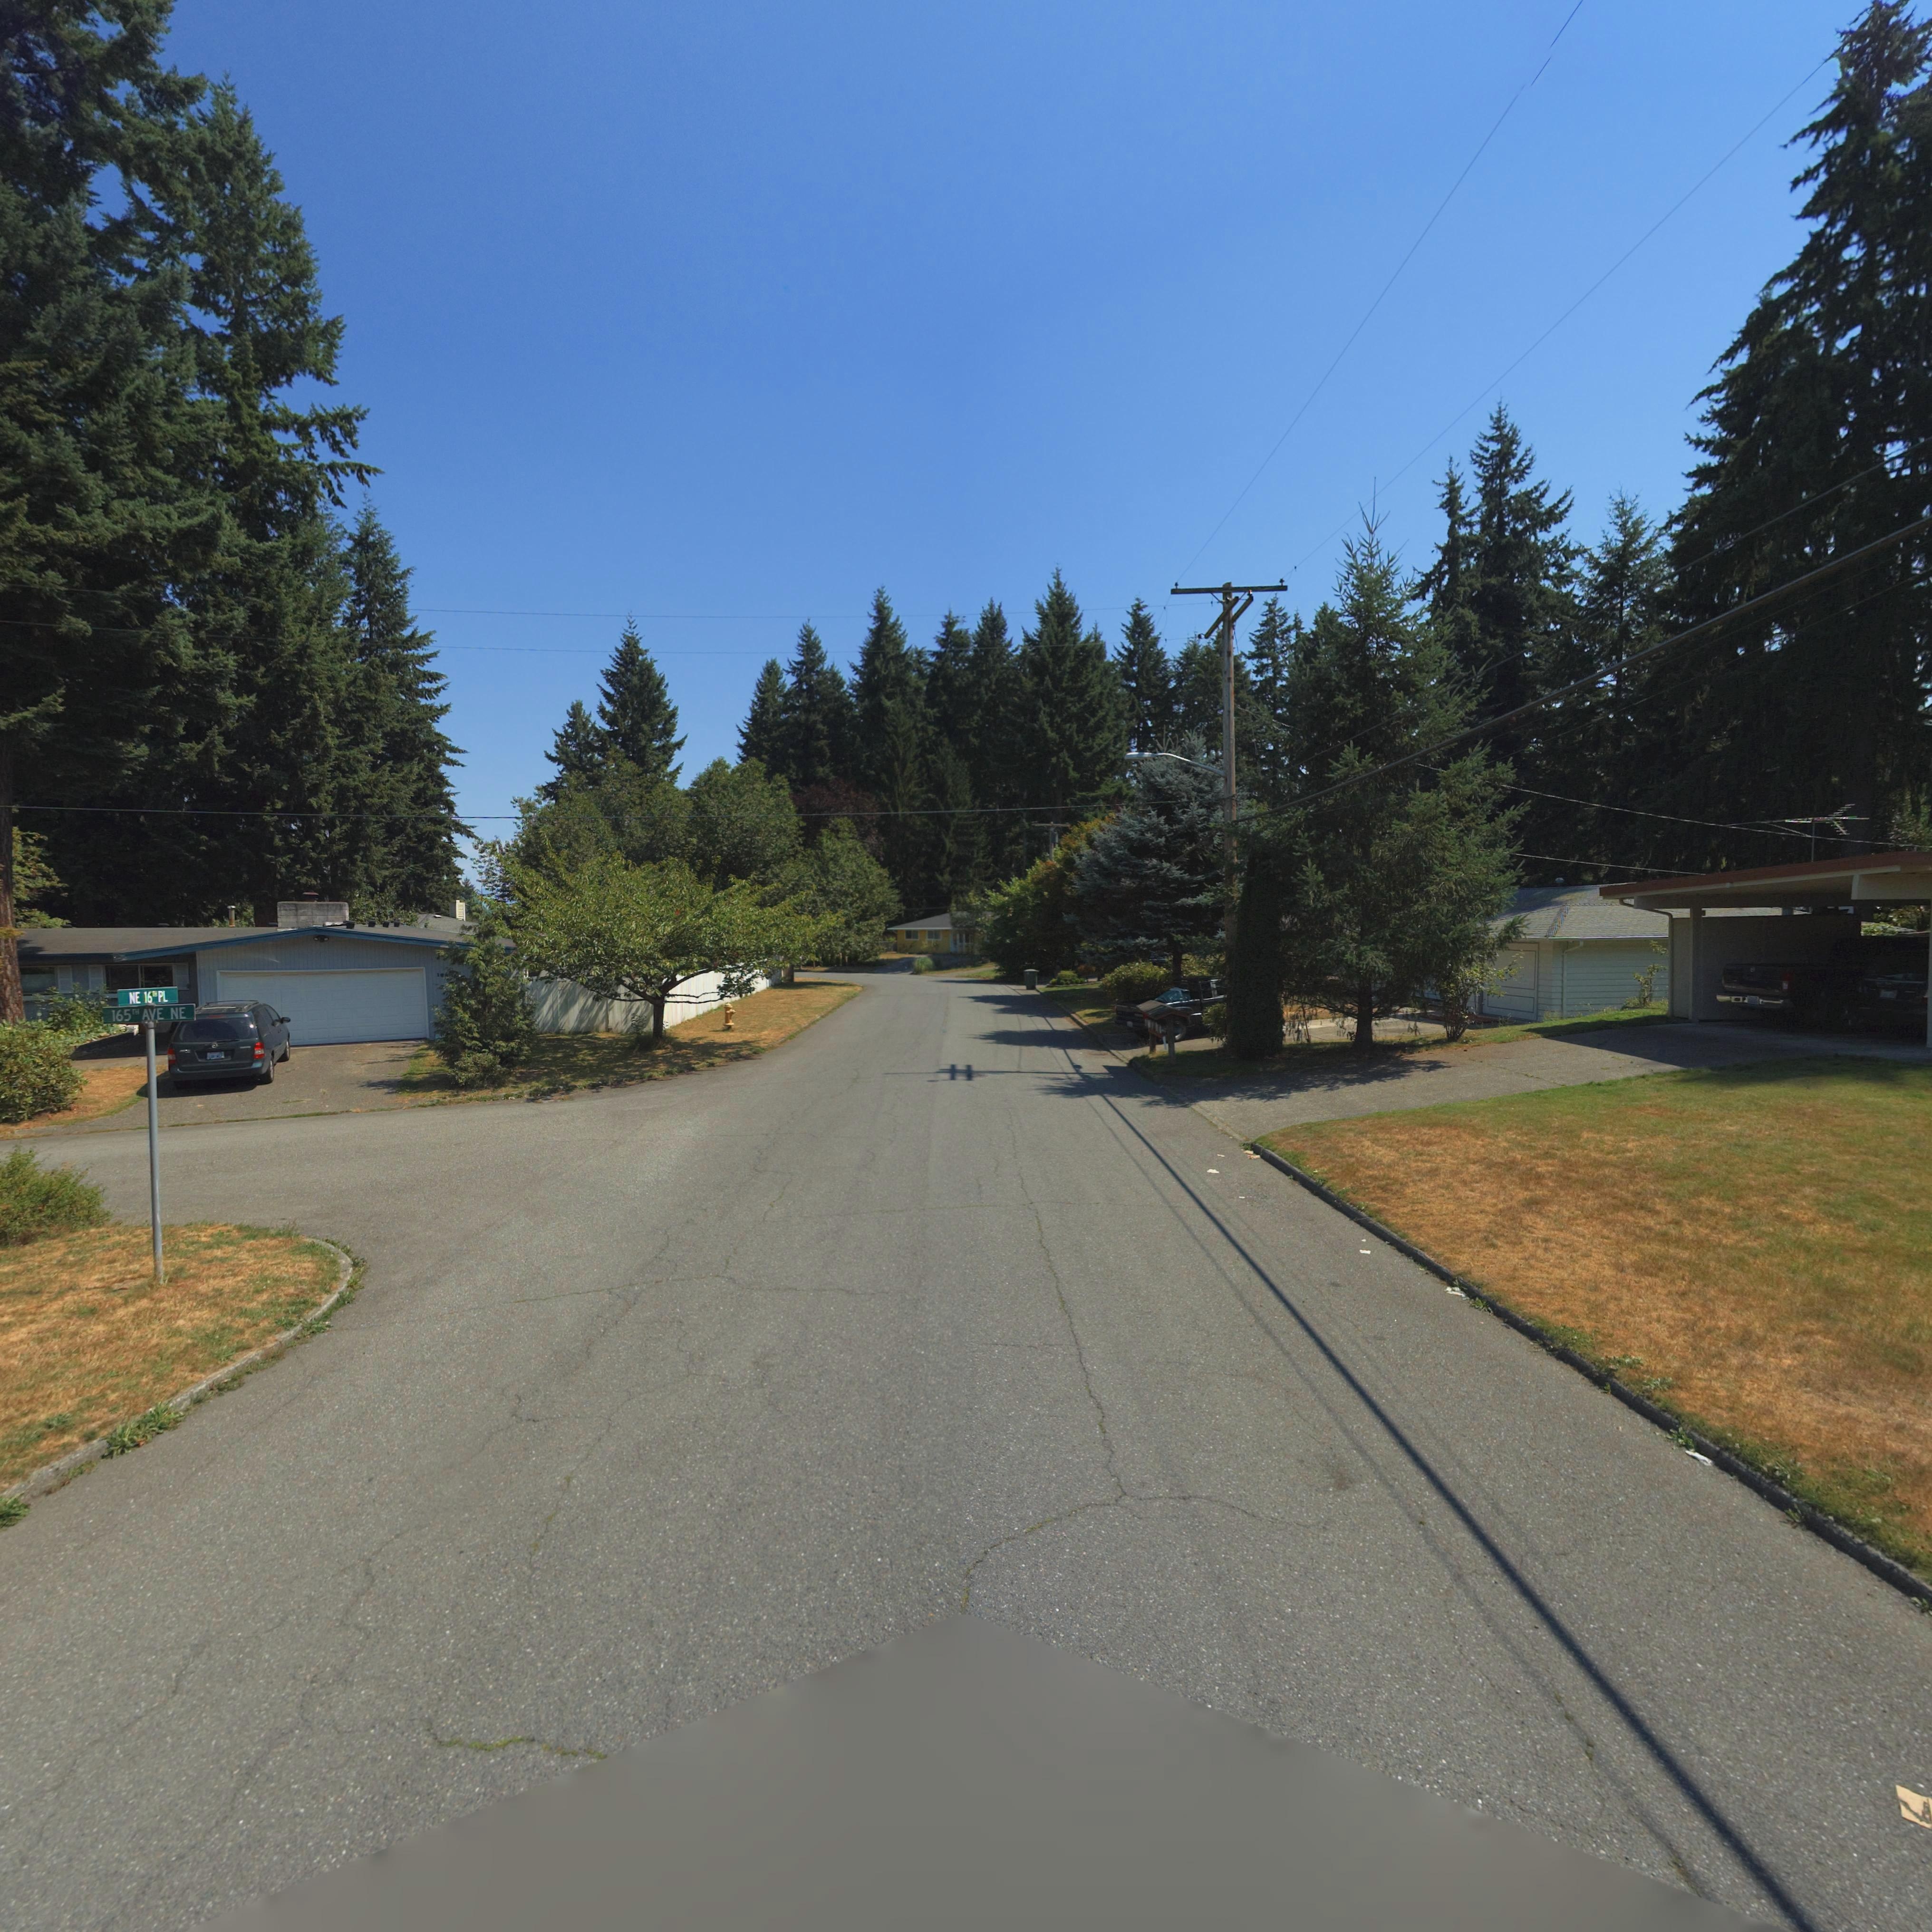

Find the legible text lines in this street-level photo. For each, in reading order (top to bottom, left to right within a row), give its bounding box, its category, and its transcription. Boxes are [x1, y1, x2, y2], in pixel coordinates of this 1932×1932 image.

[128, 989, 168, 1004] StreetName: NE 16th PL
[112, 1007, 186, 1022] StreetName: 165th Ave NE